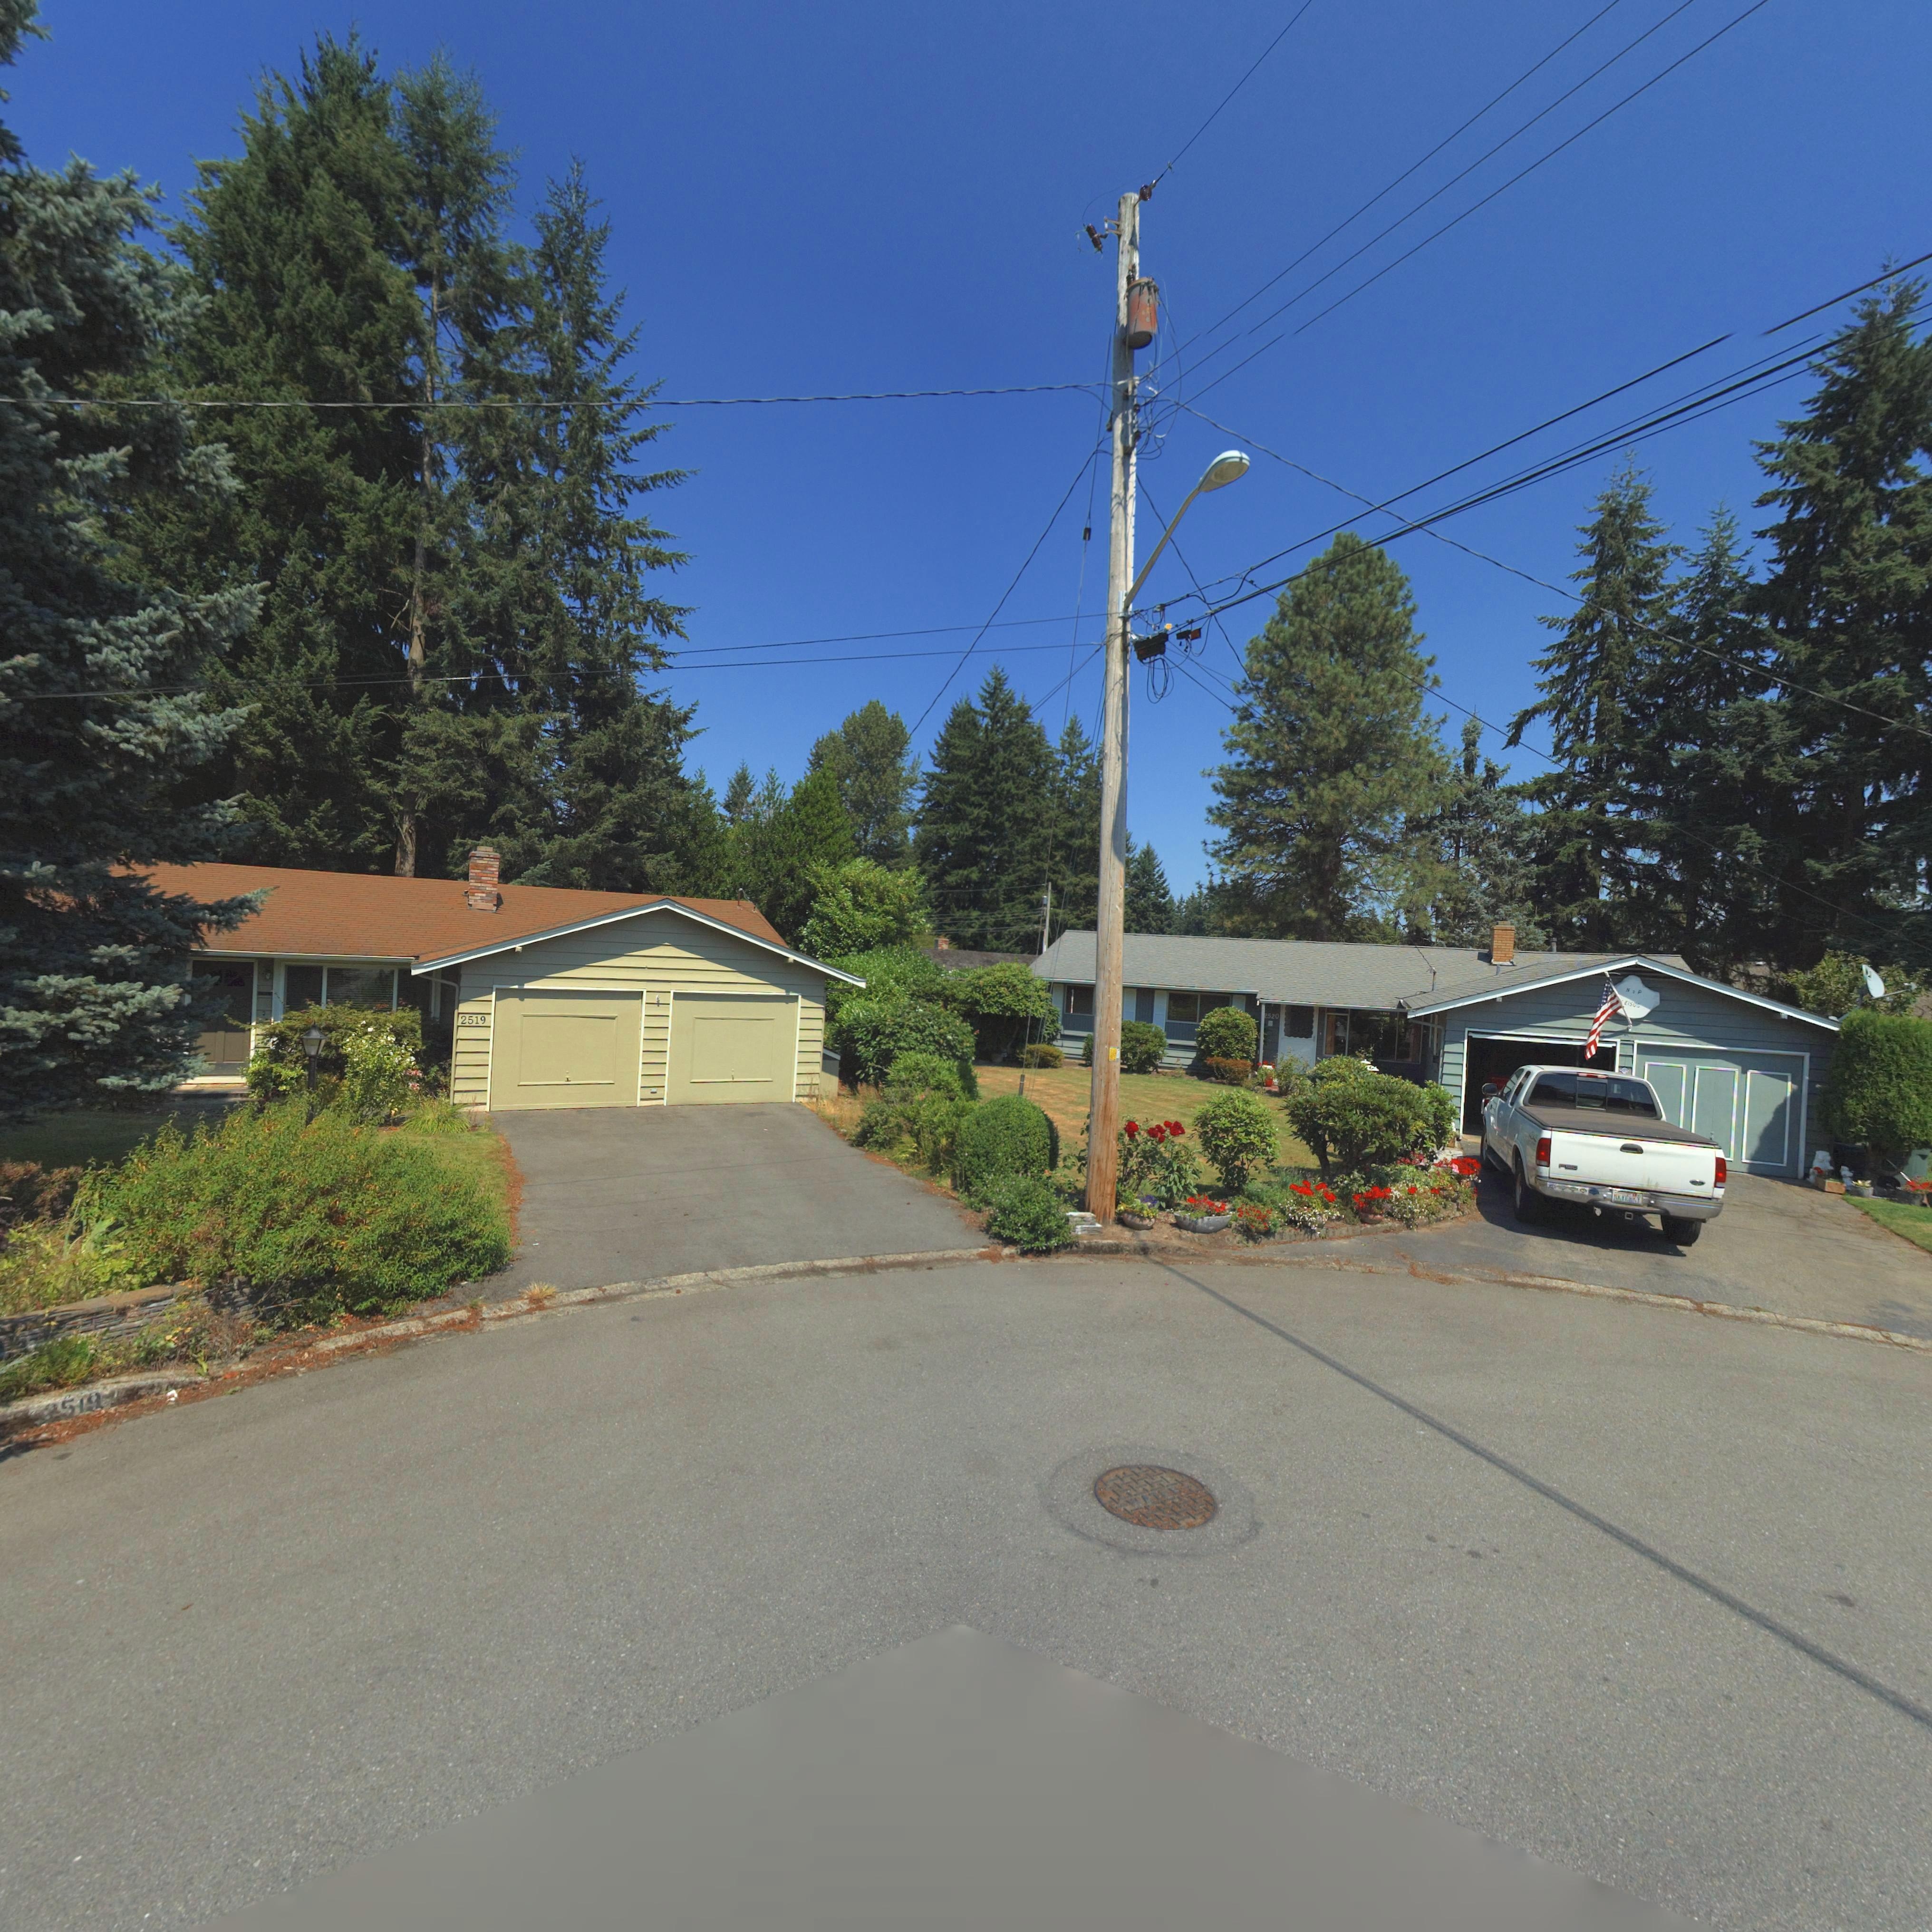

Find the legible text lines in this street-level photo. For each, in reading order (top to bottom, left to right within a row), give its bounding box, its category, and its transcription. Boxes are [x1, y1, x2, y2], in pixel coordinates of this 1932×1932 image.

[460, 1014, 487, 1025] StreetNumber: 2519
[1265, 1013, 1279, 1019] StreetNumber: *520